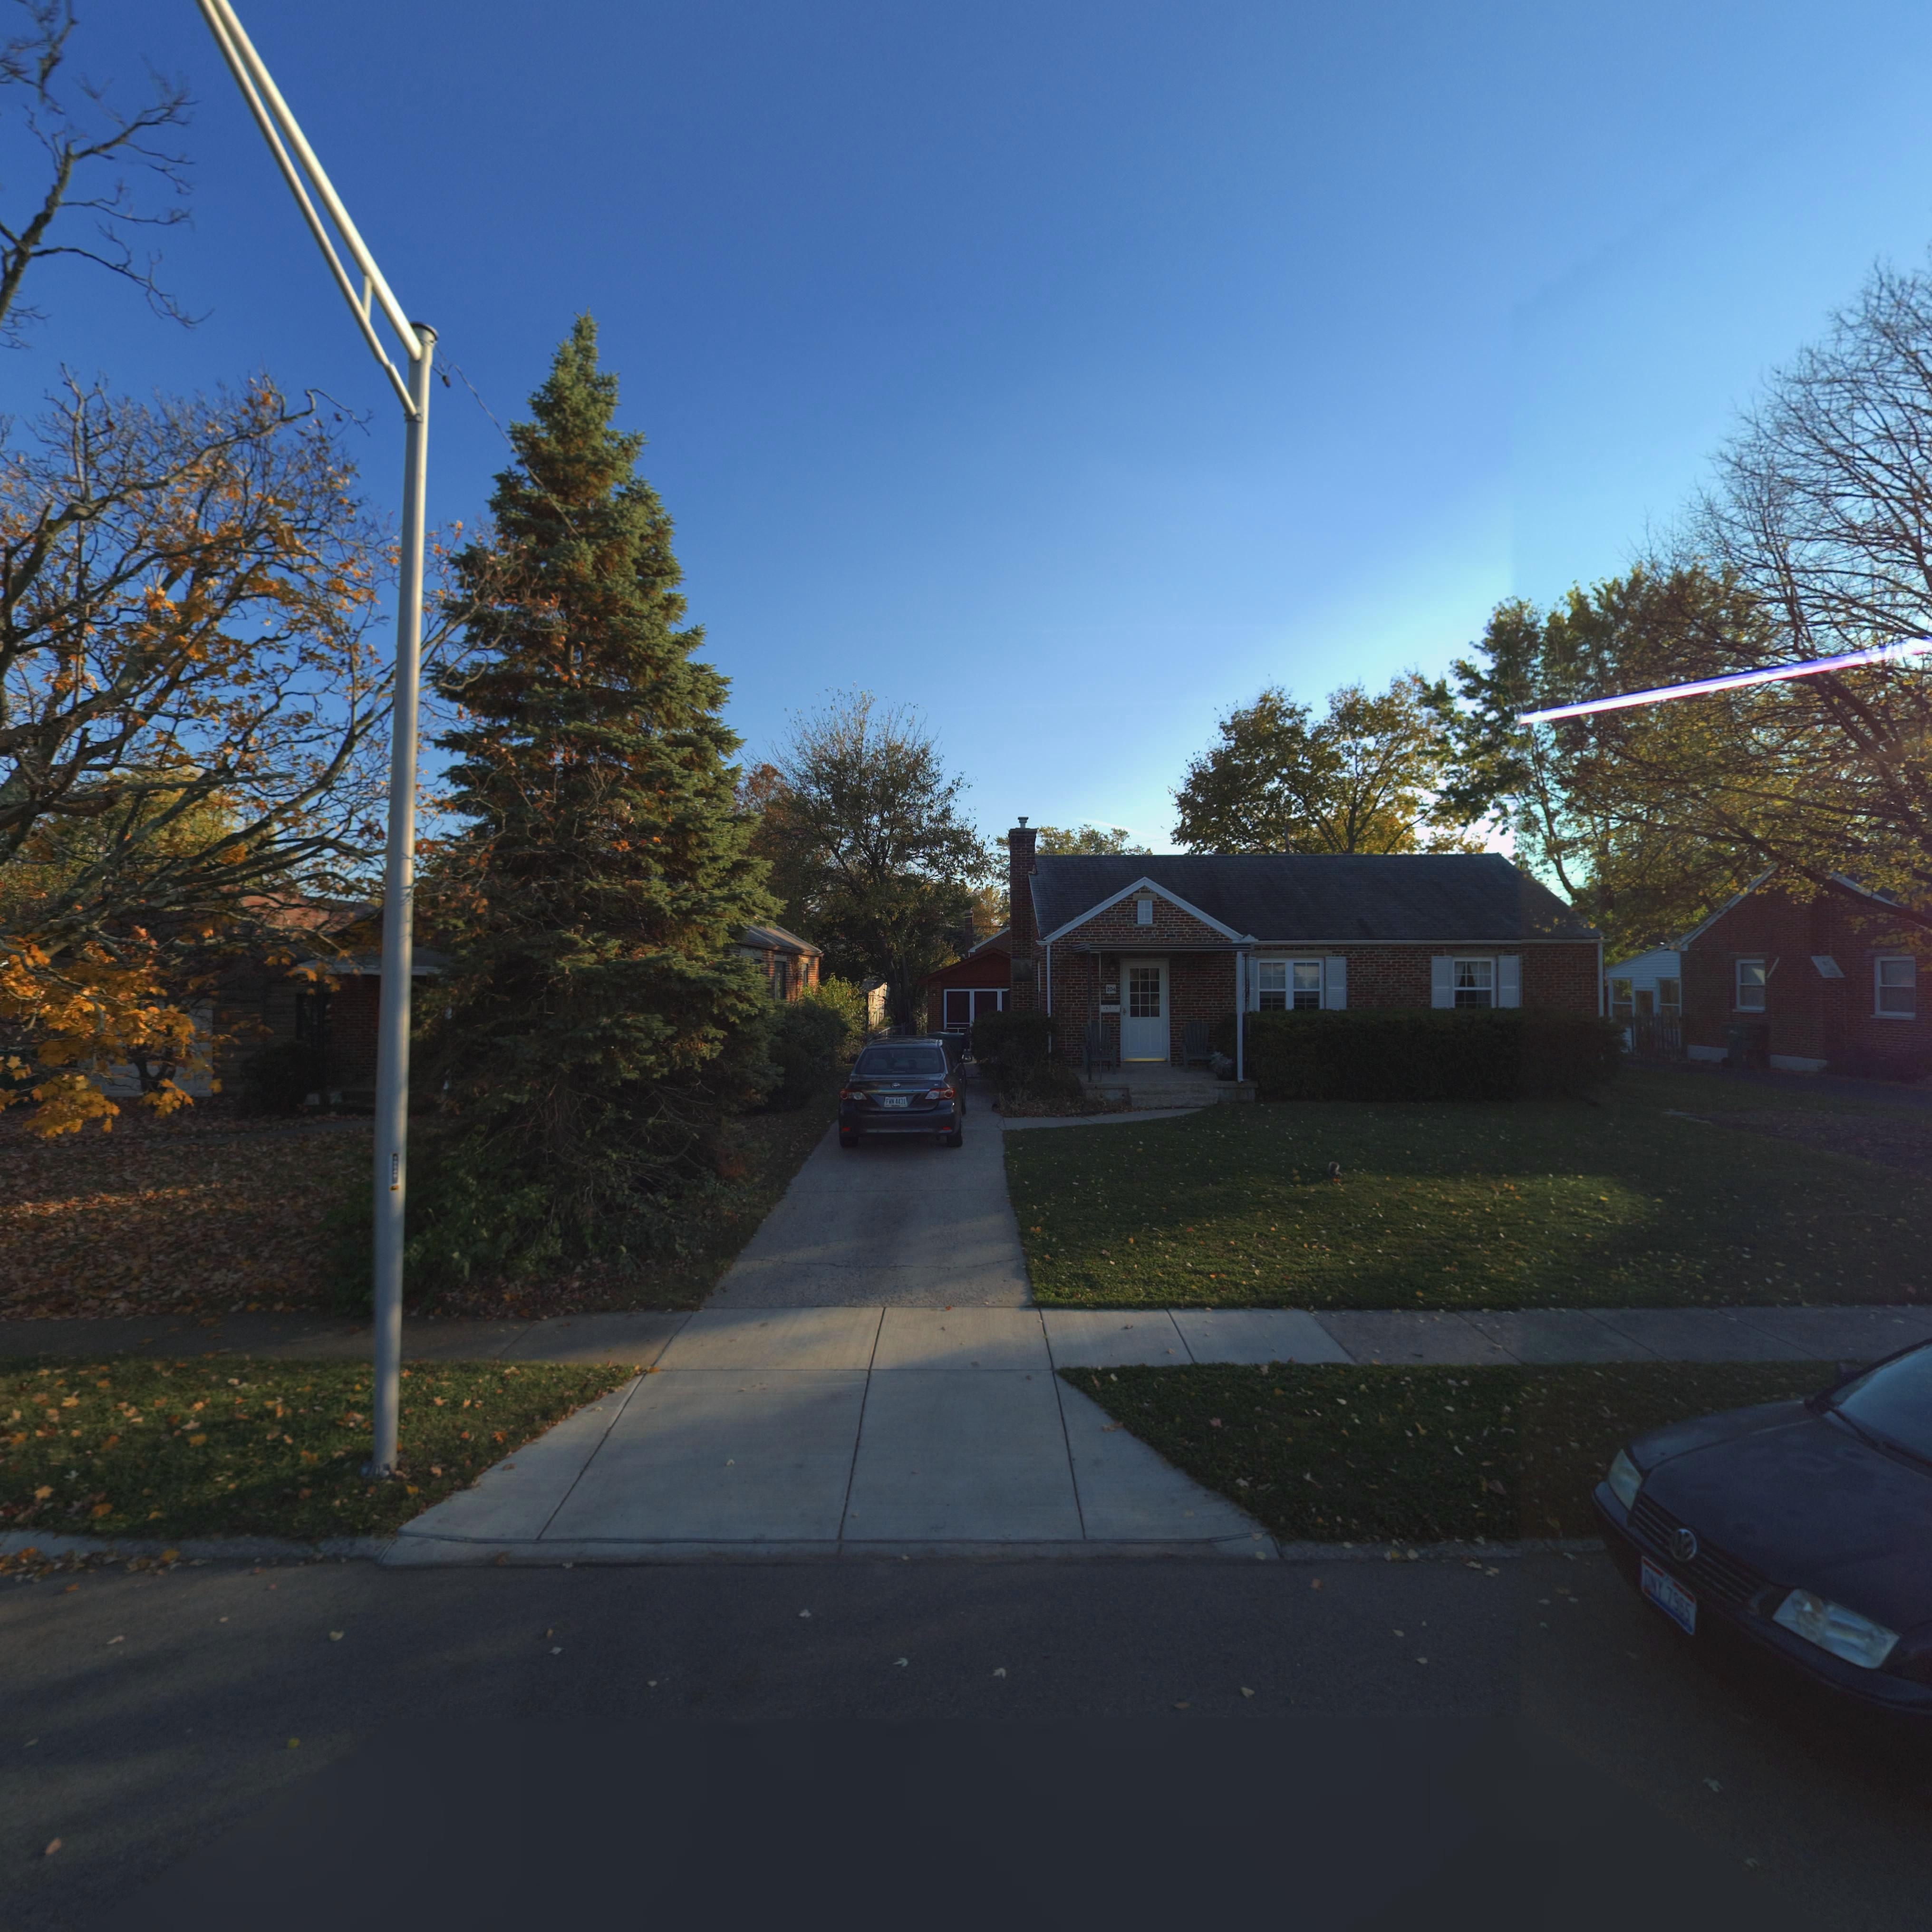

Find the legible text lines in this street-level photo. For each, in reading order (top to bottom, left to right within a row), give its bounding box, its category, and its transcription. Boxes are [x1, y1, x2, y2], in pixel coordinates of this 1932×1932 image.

[1106, 986, 1116, 992] StreetNumber: 204